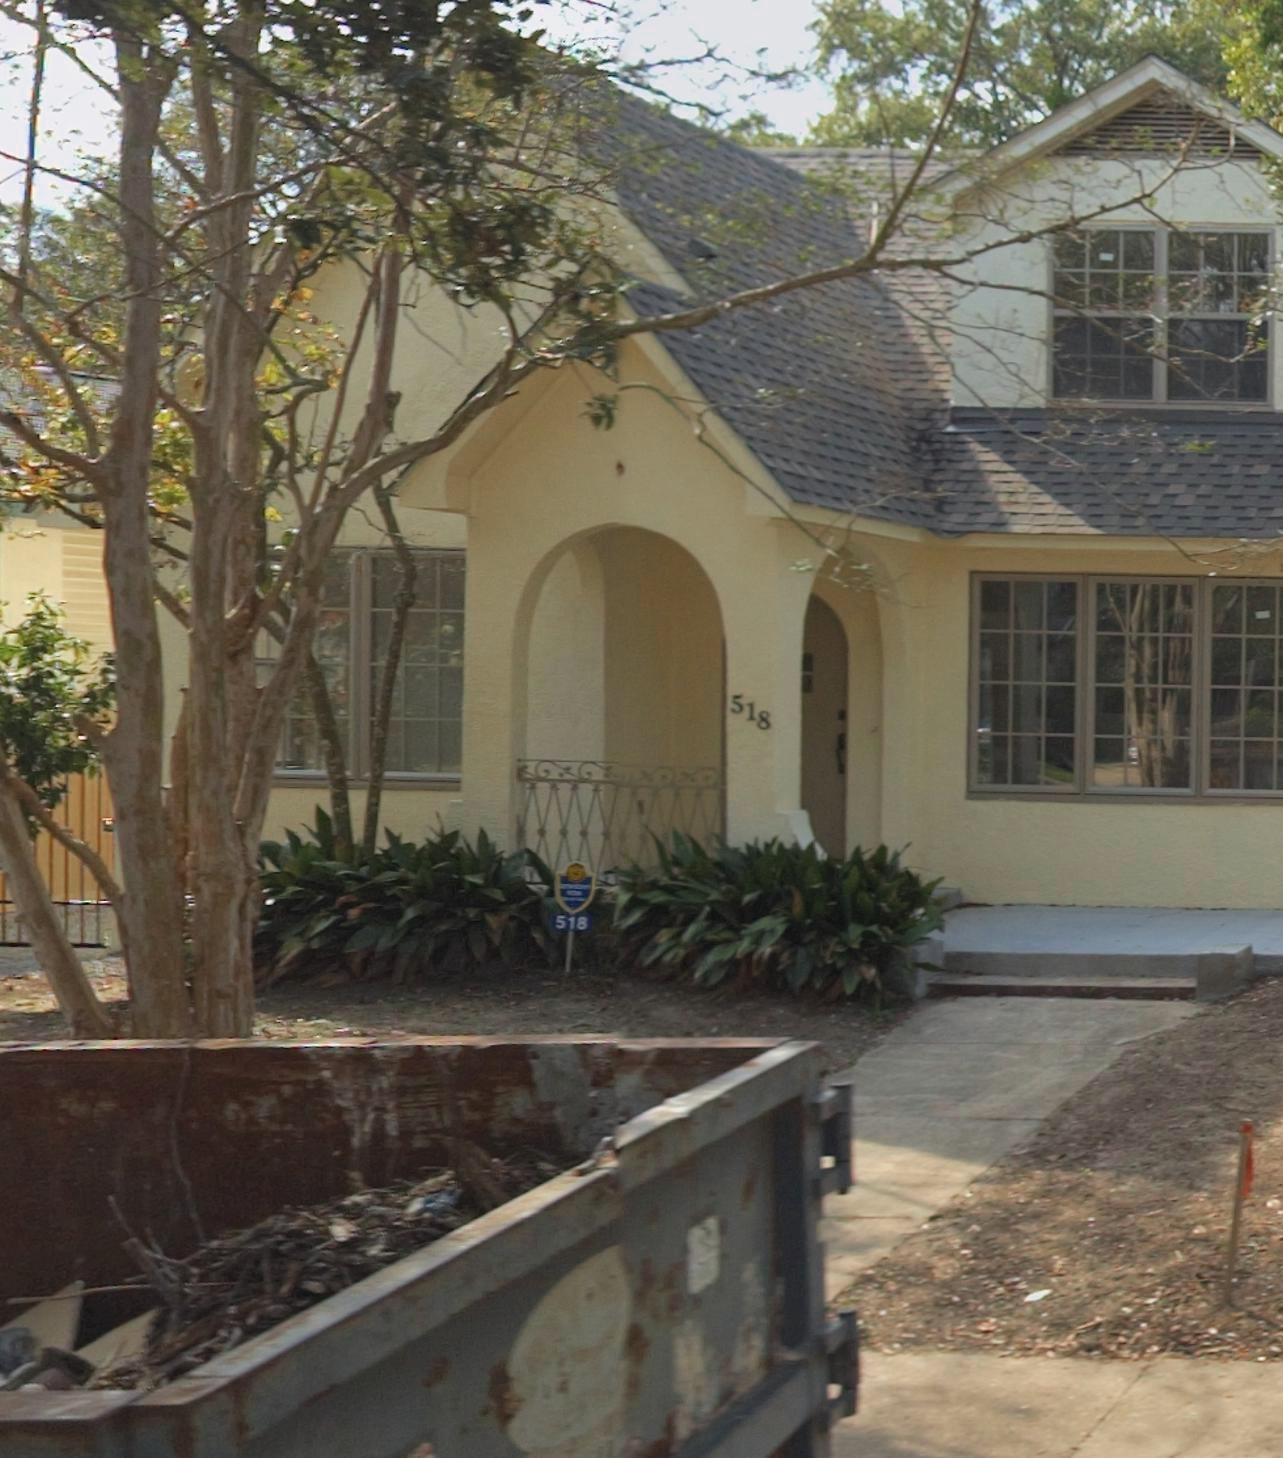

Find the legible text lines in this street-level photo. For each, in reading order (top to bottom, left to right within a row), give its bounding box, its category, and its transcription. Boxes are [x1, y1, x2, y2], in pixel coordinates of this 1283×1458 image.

[728, 689, 776, 734] StreetNumber: 518
[552, 913, 594, 931] None: 518